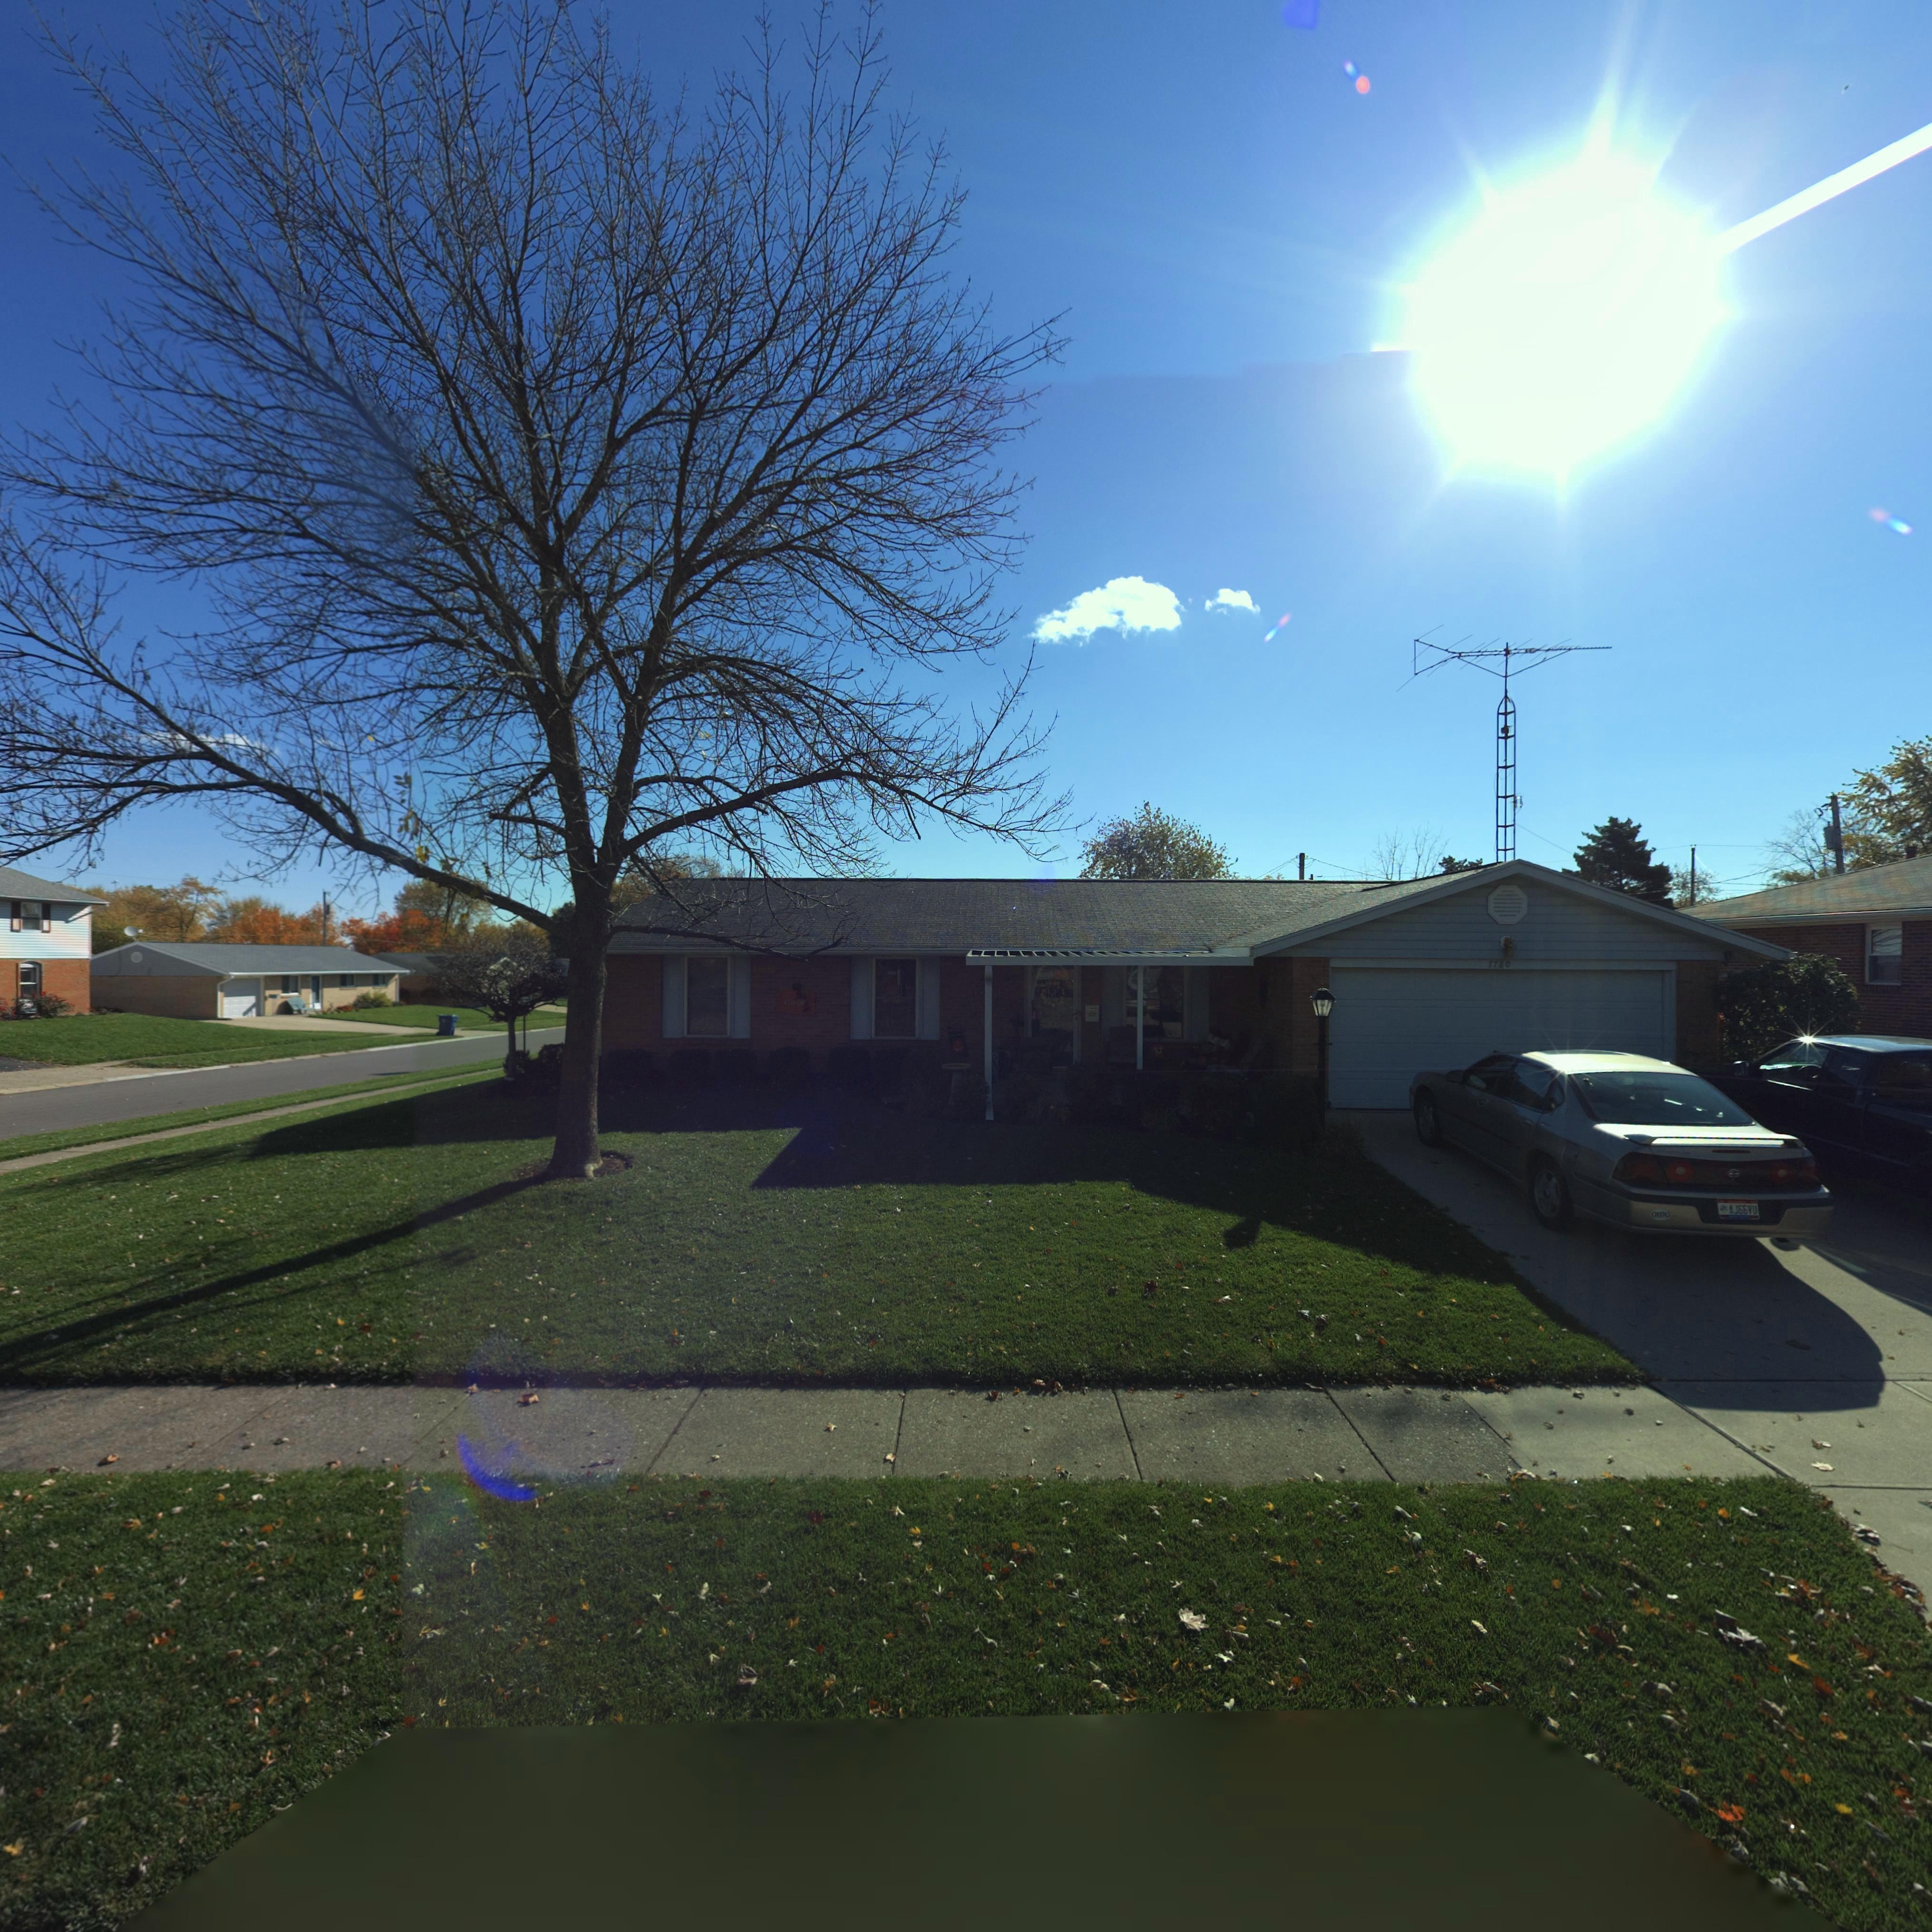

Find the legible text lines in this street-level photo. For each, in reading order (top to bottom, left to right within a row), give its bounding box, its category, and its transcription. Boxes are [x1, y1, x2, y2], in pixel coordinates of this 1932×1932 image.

[1488, 959, 1511, 969] StreetNumber: 7780